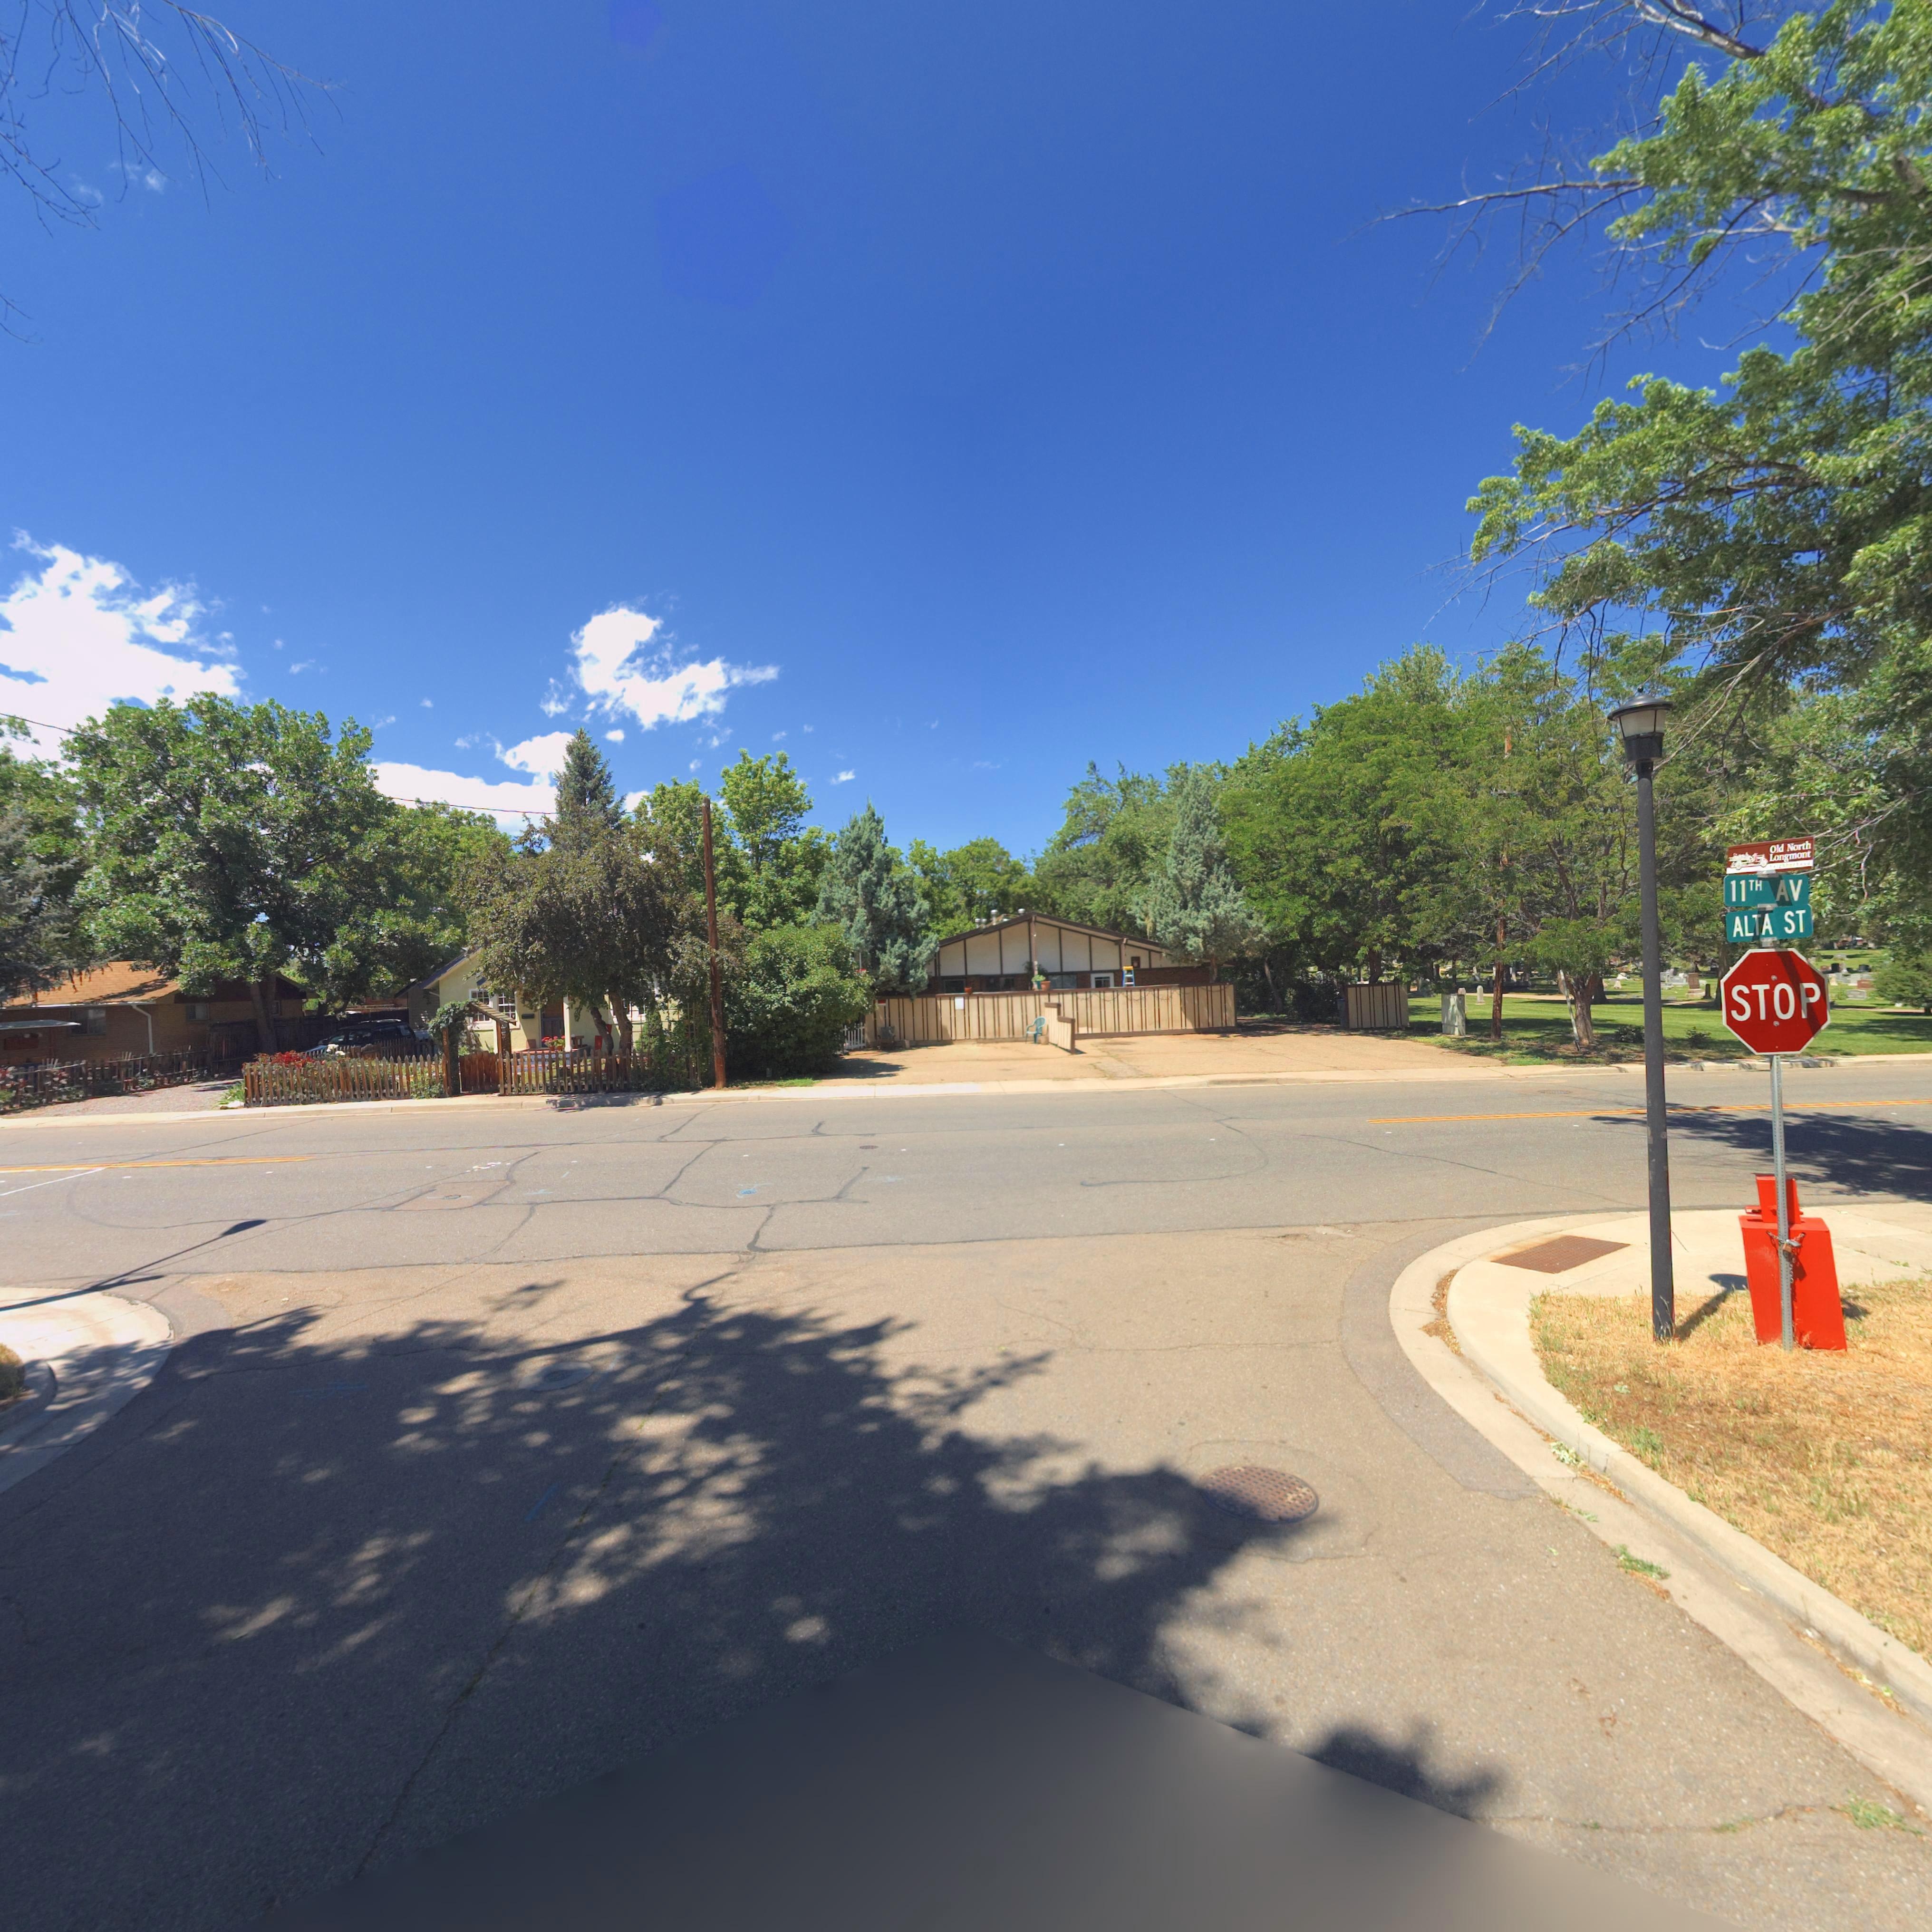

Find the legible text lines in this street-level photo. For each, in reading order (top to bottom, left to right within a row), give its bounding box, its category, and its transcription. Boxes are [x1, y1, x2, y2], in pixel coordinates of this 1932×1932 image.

[1729, 879, 1803, 902] StreetName: 11TH AV
[1732, 909, 1806, 937] StreetName: ALTA ST